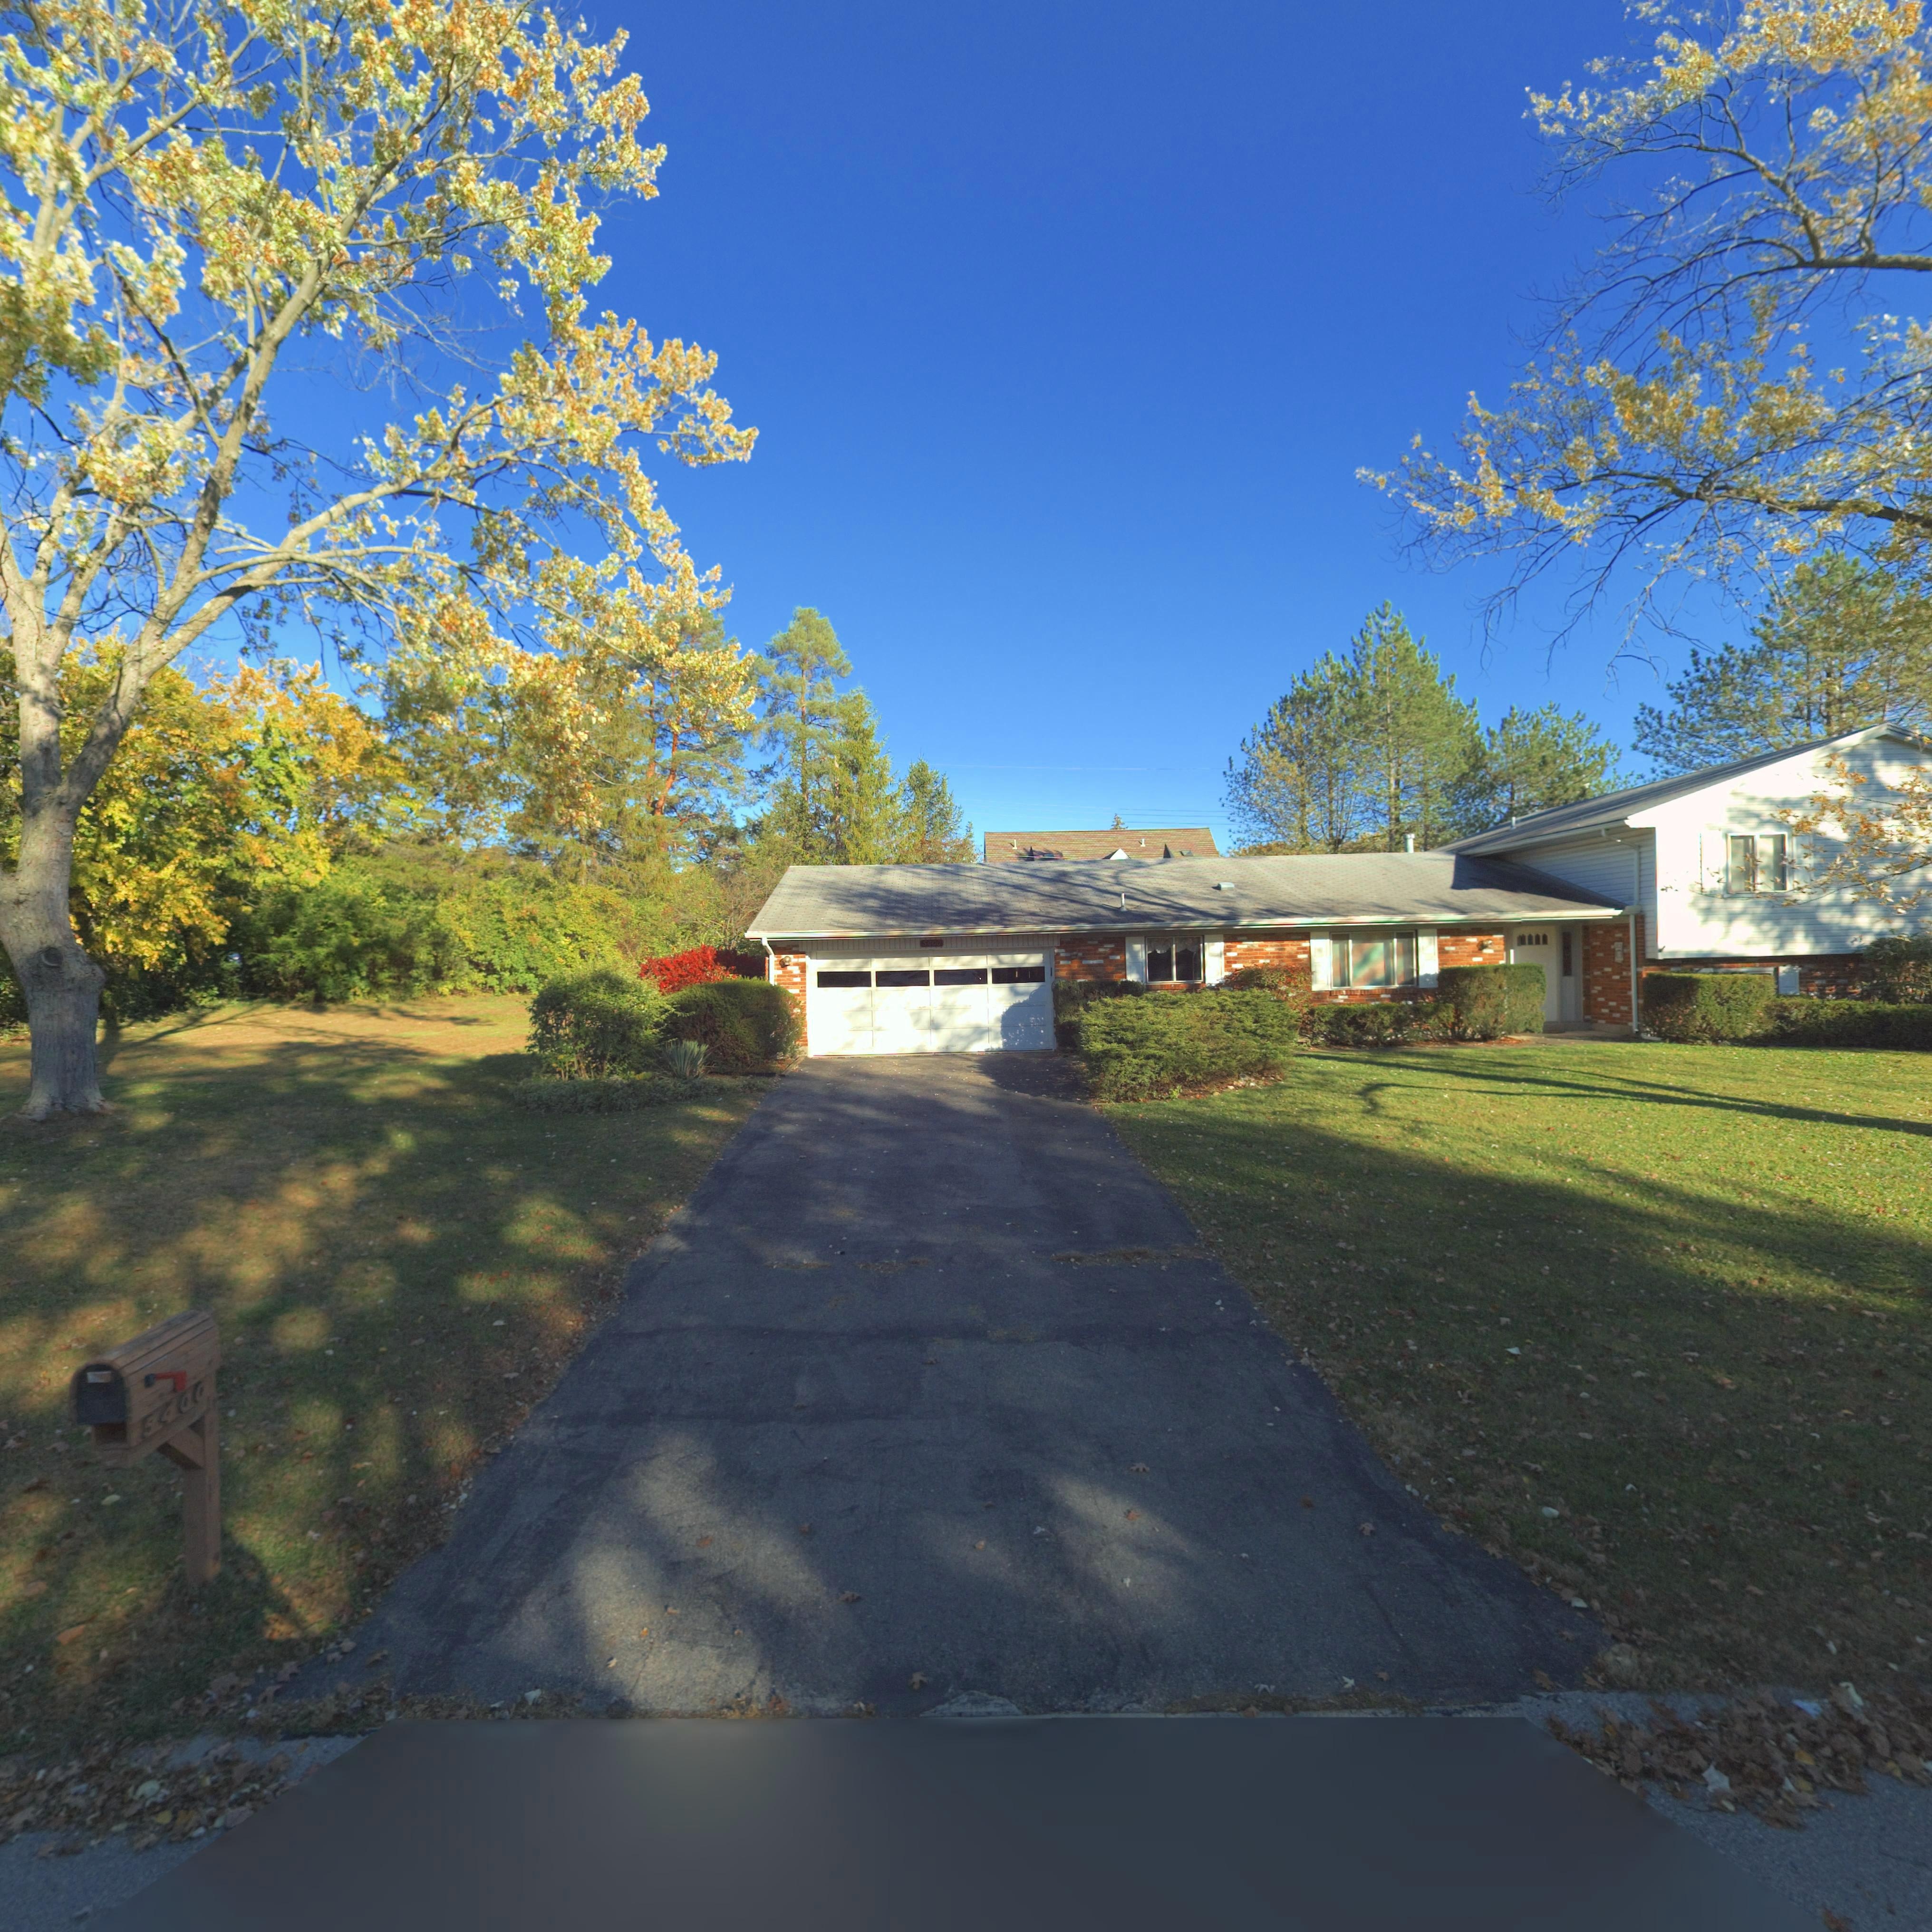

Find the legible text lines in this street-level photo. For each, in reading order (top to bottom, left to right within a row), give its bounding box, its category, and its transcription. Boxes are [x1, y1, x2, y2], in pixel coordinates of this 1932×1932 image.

[922, 939, 941, 947] StreetNumber: 5400
[142, 1377, 208, 1443] StreetNumber: 5400